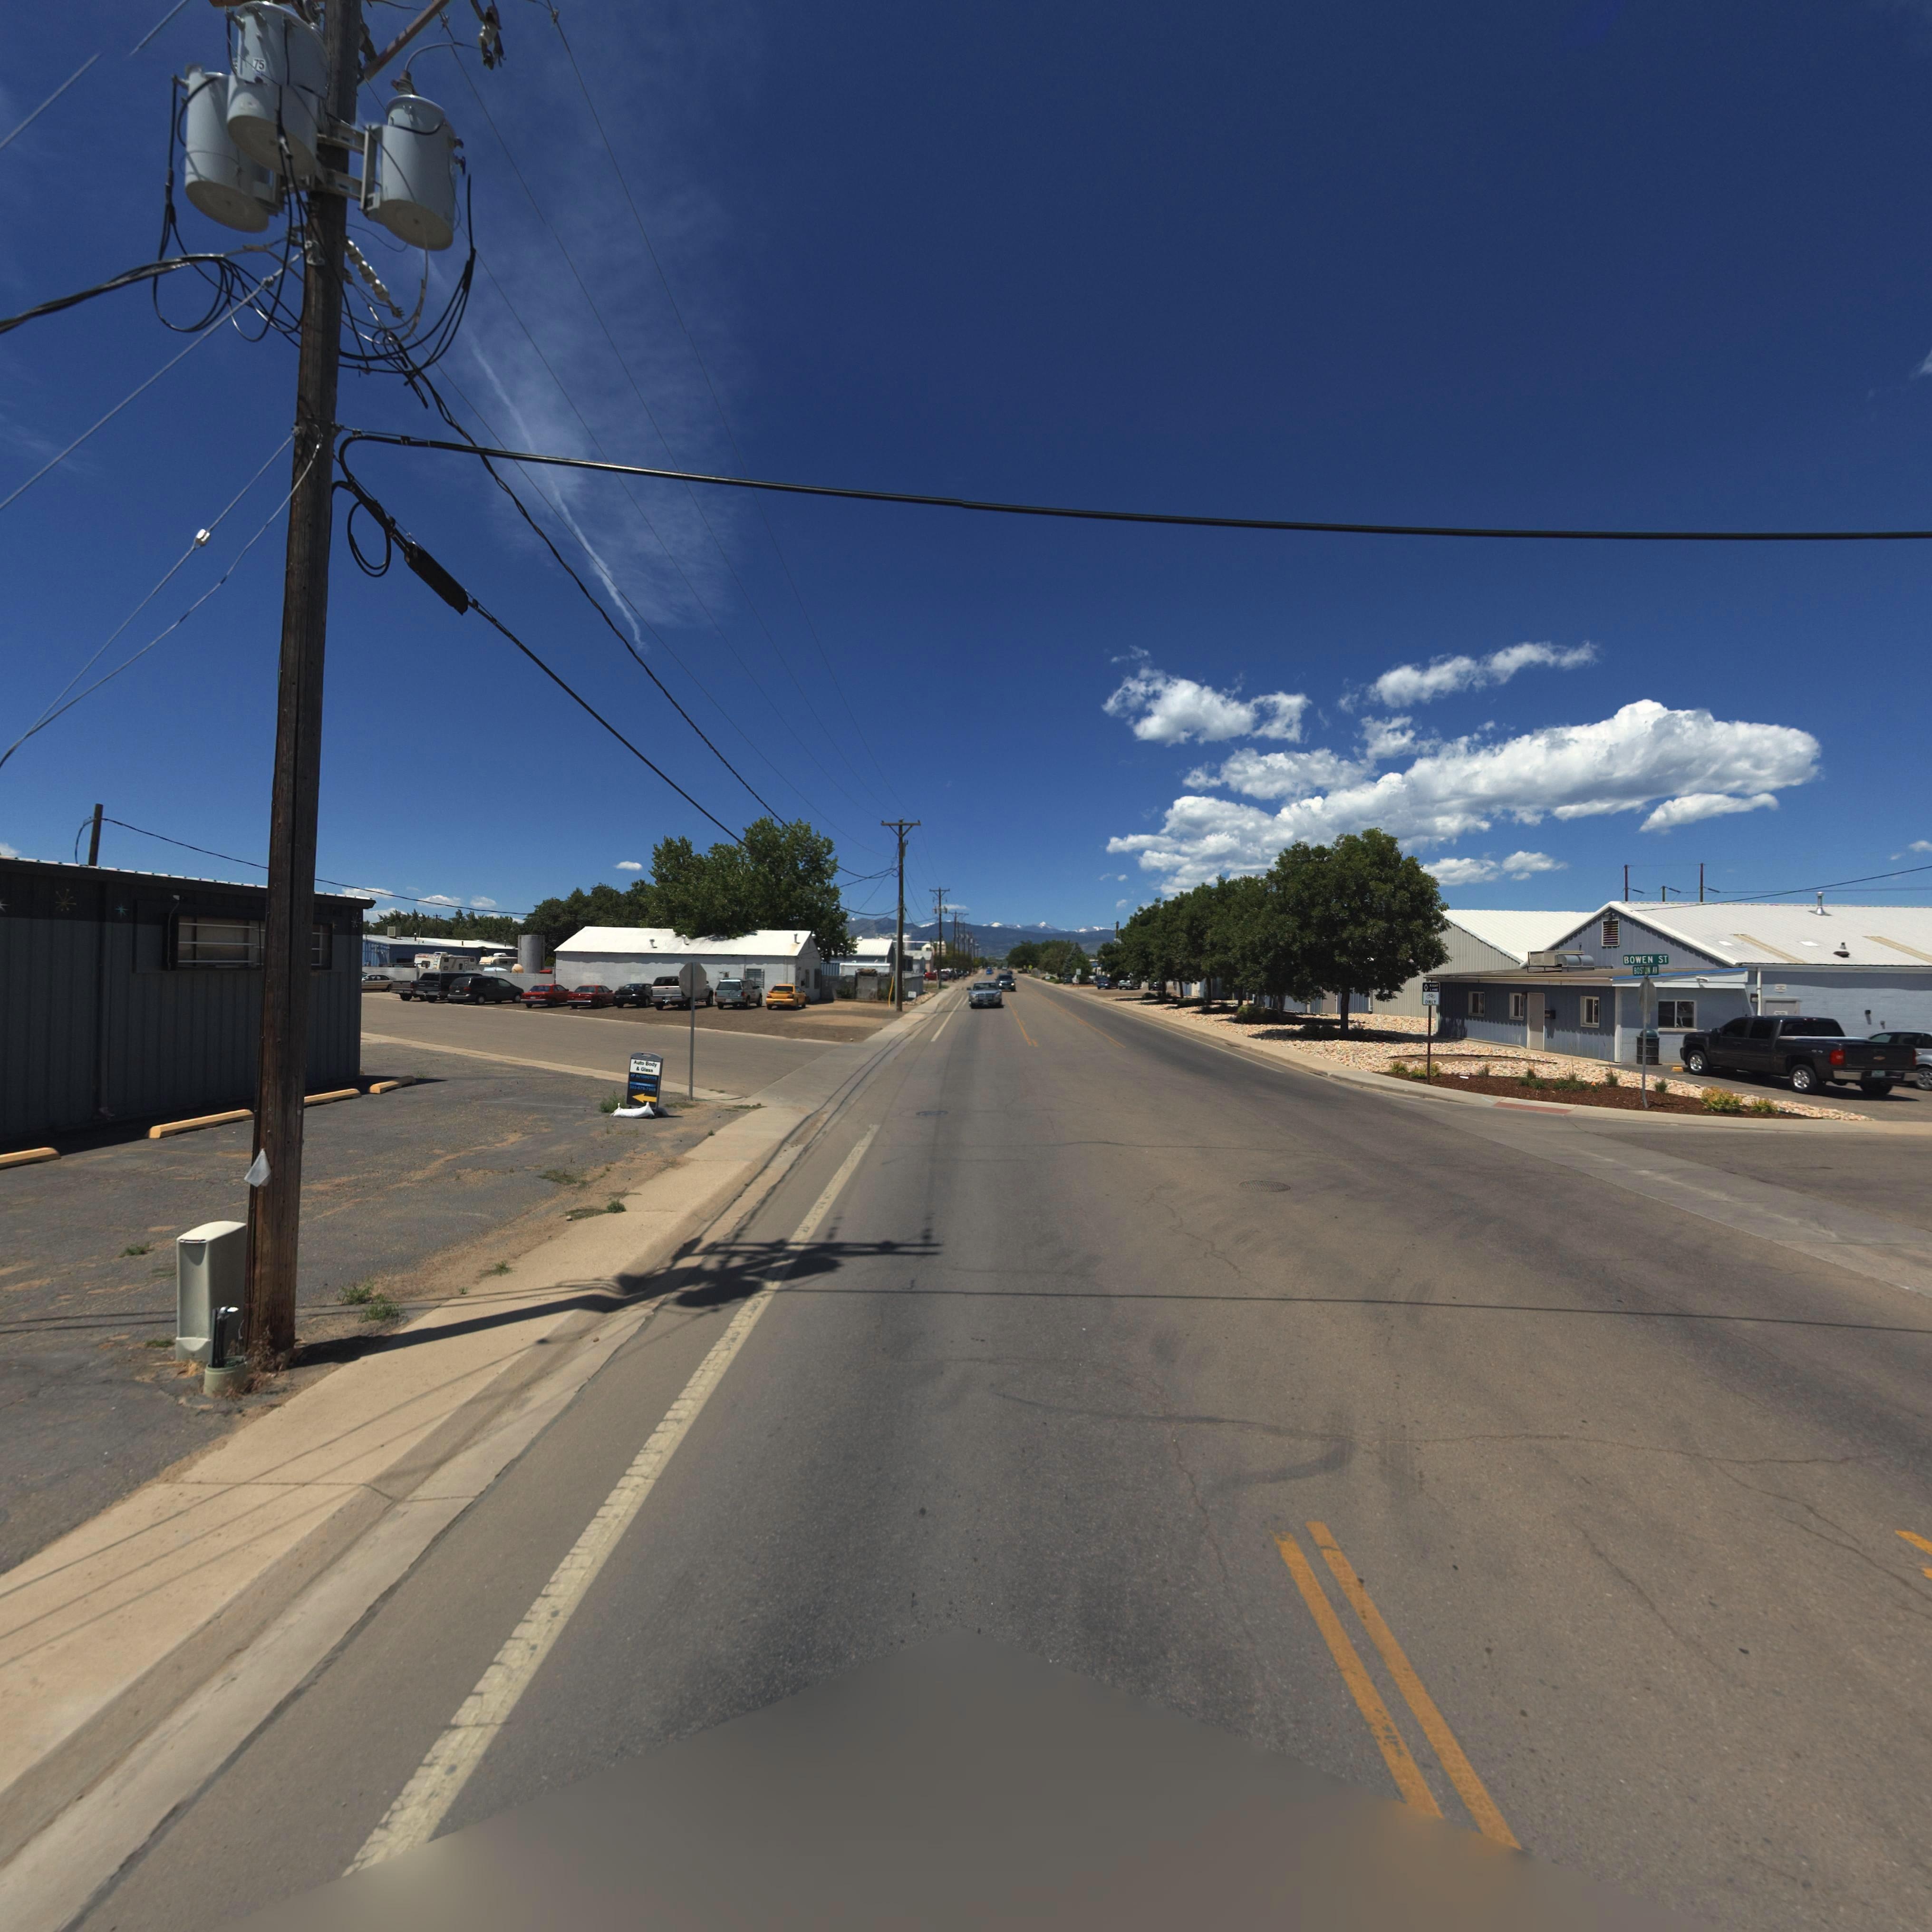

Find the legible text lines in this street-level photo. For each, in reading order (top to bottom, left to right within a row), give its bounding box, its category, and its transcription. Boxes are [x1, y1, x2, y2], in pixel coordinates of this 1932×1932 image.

[1623, 955, 1668, 964] StreetName: BOWEN ST
[1633, 966, 1658, 975] BusinessName: BOSTON AV
[630, 1073, 657, 1080] BusinessName: AP *U**MOTIVE